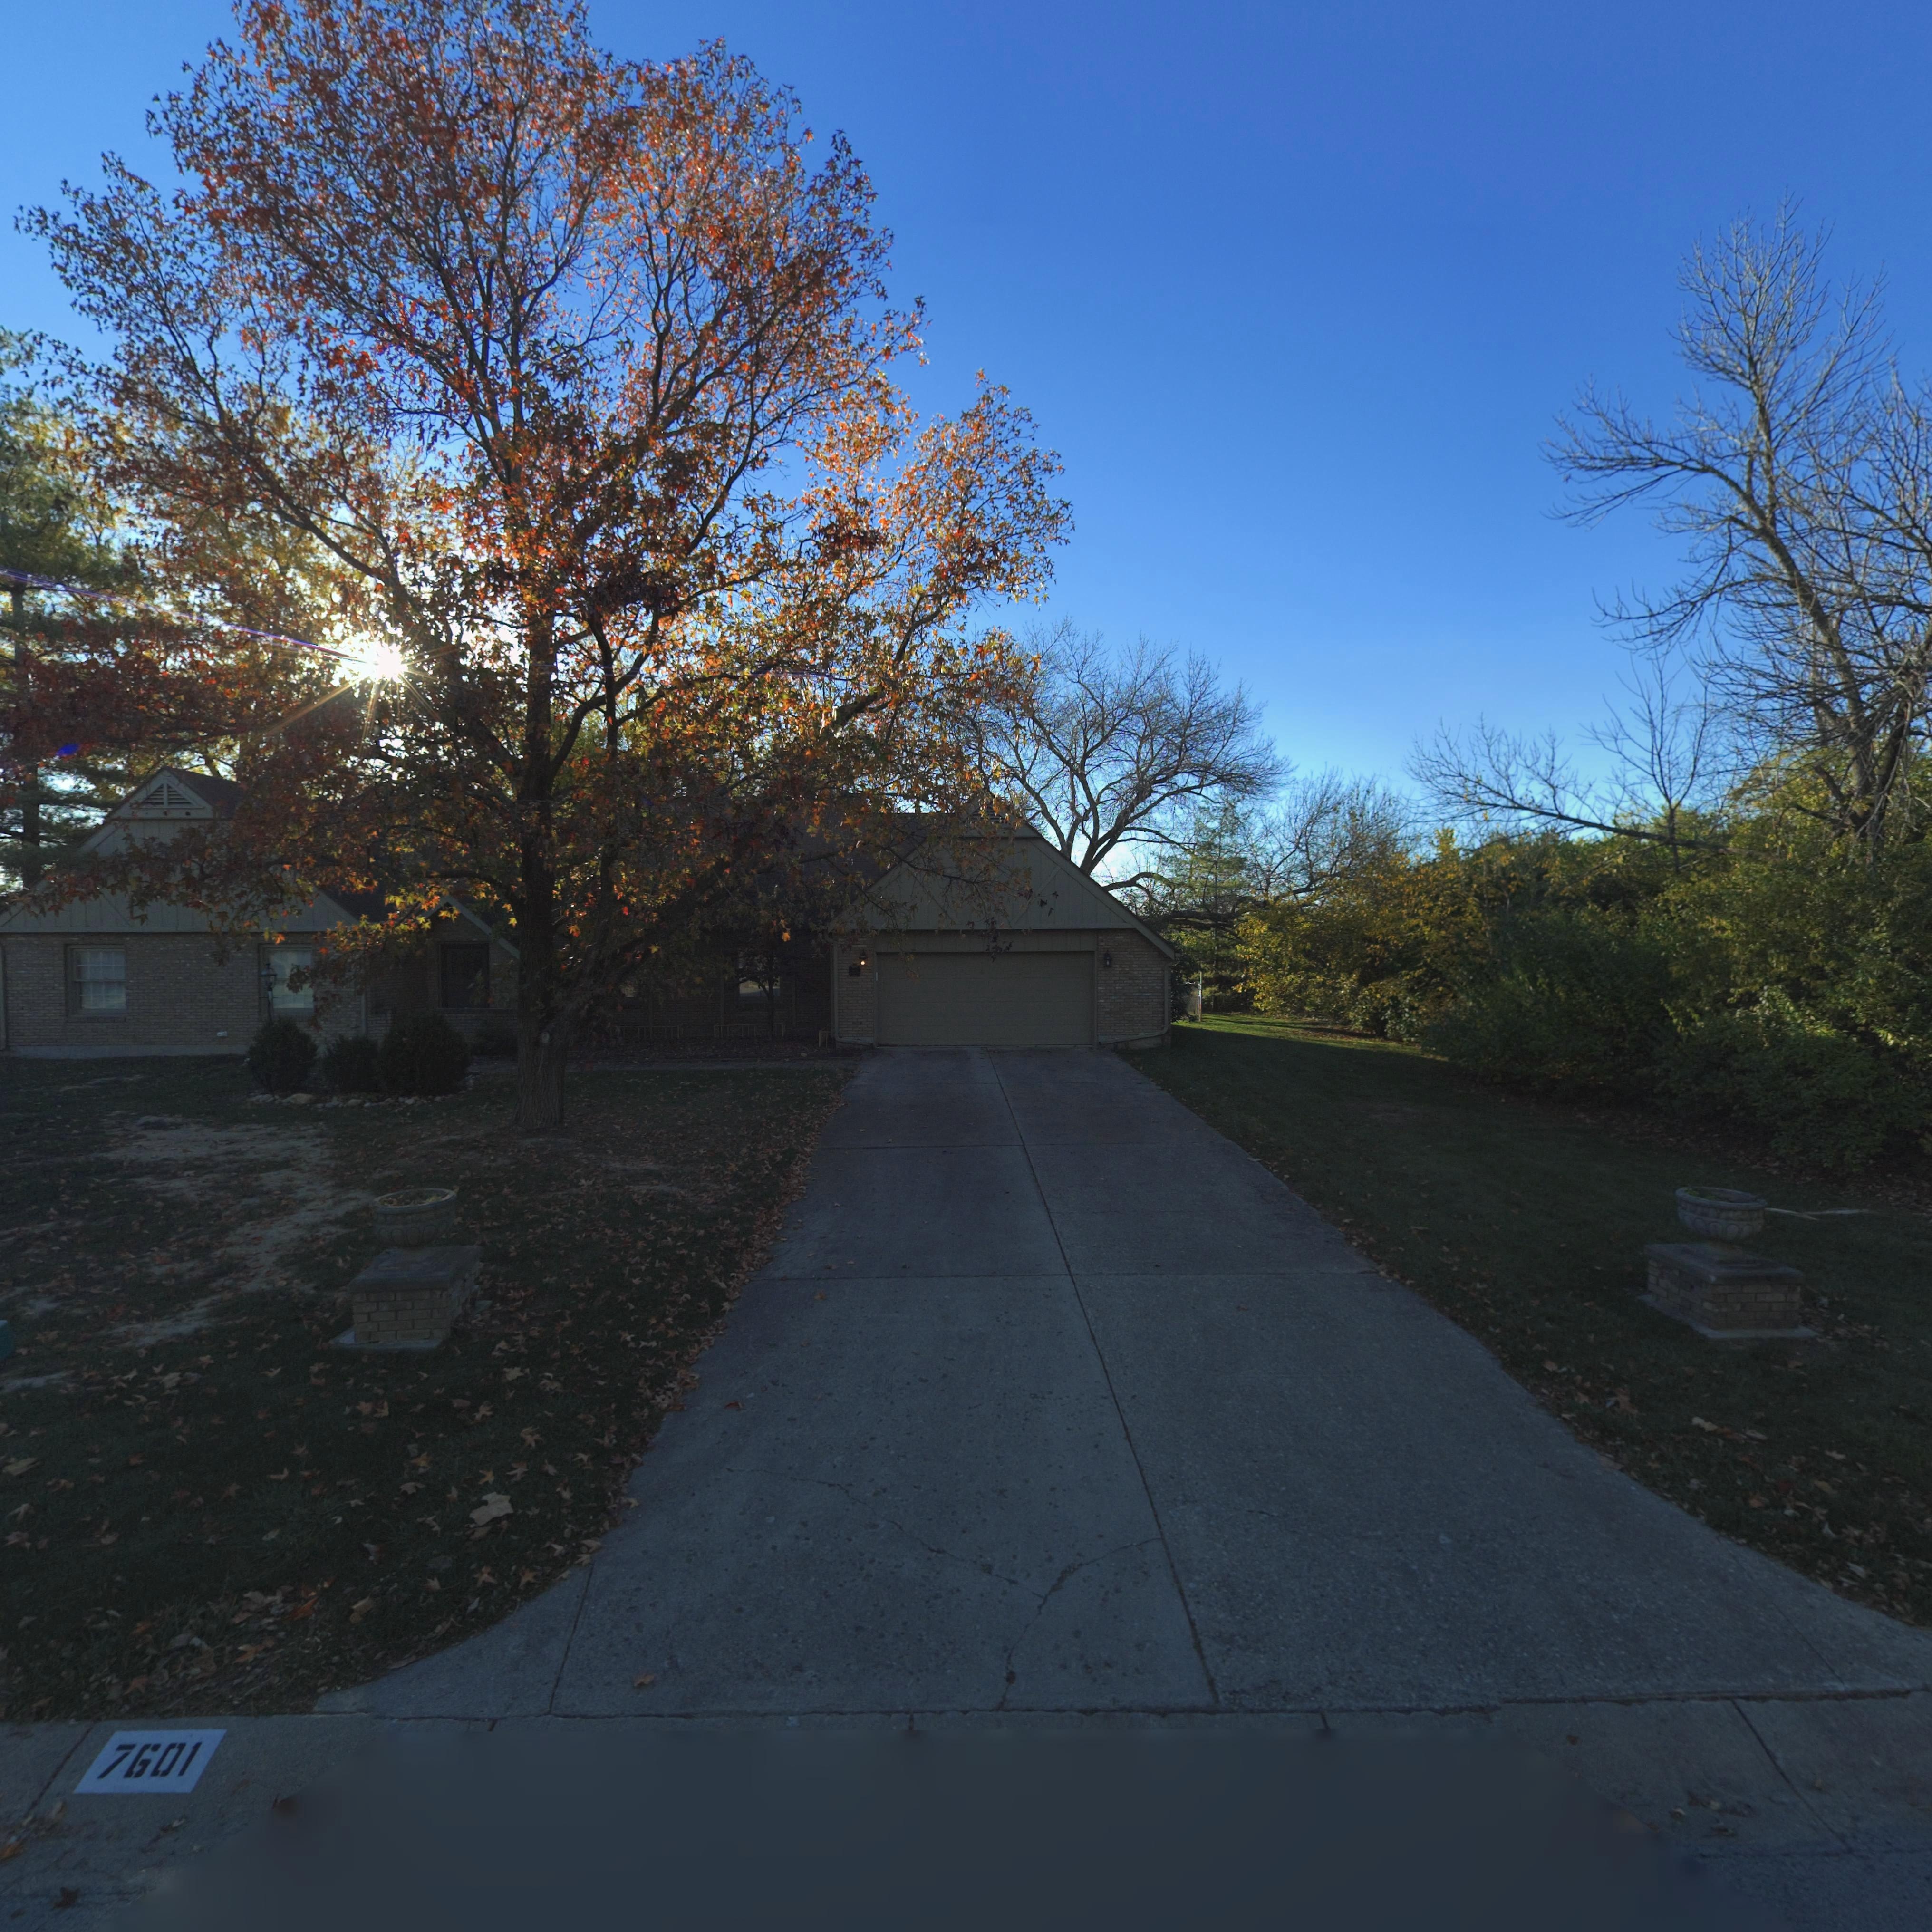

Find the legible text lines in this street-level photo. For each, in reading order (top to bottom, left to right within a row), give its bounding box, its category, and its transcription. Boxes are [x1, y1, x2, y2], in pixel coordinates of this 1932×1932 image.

[94, 1741, 205, 1780] StreetNumber: 7601